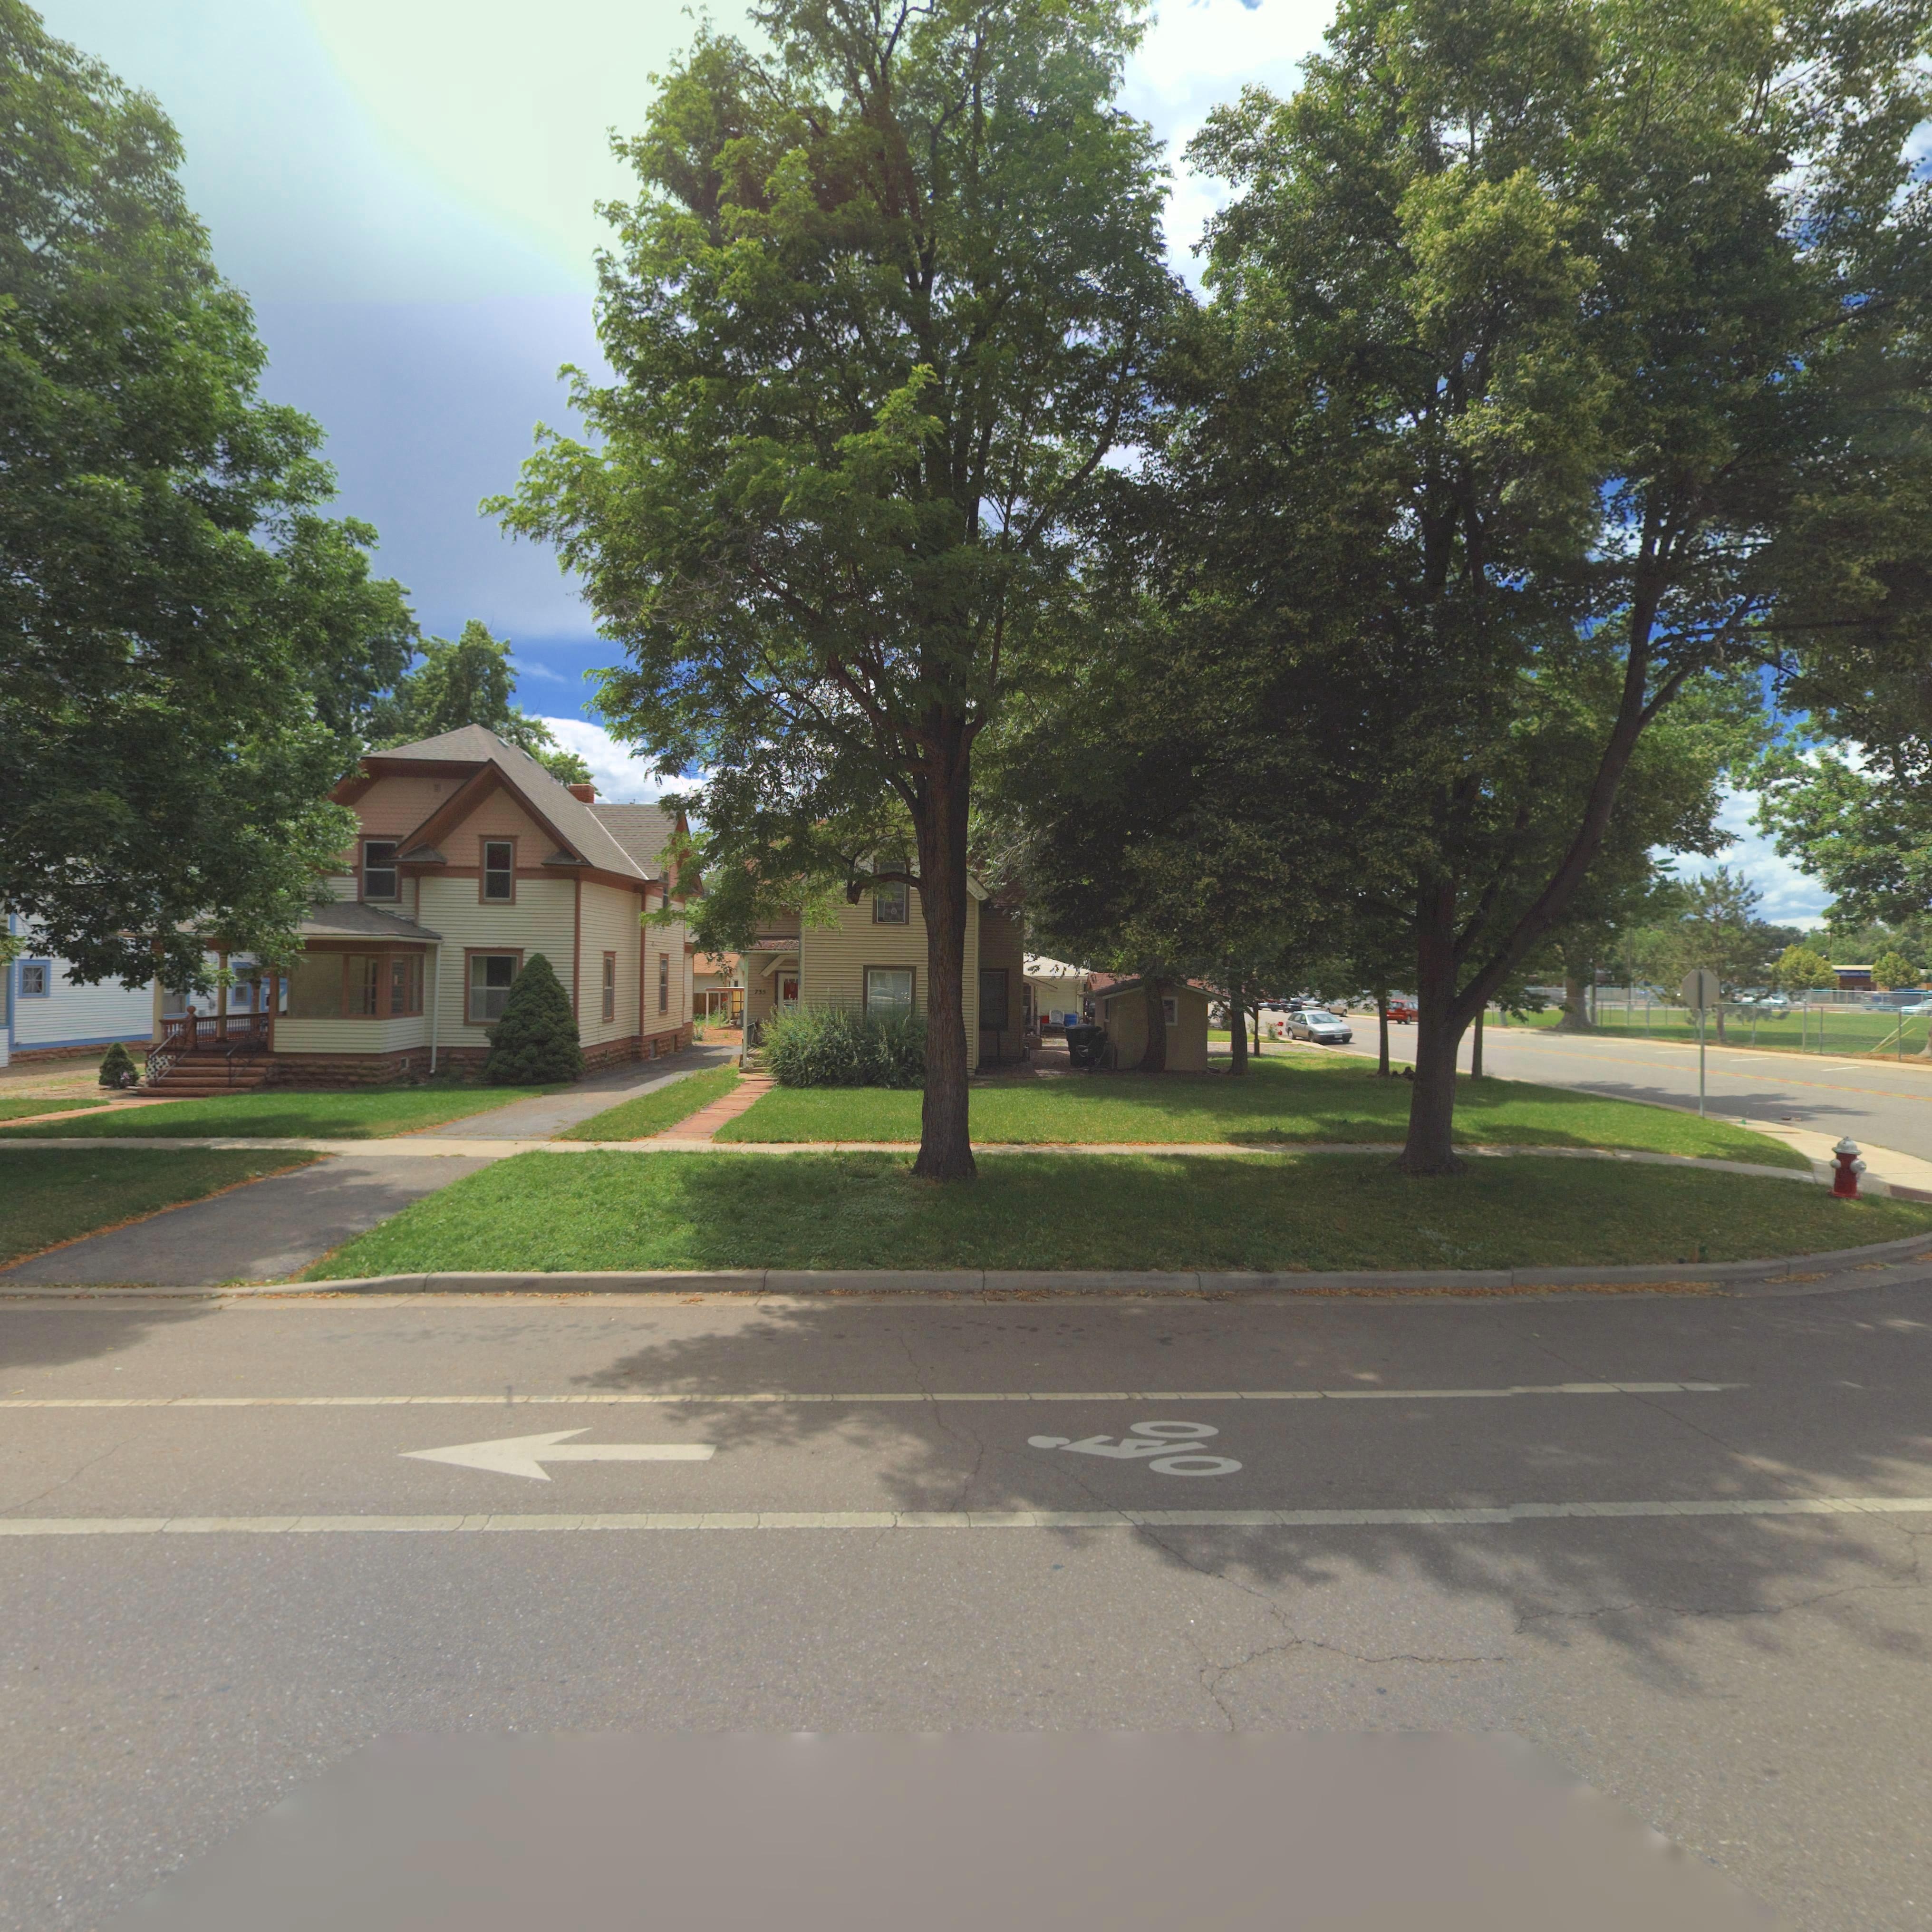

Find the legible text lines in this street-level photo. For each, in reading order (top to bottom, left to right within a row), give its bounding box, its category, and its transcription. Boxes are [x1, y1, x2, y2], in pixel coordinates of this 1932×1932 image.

[754, 989, 766, 995] StreetNumber: 7**